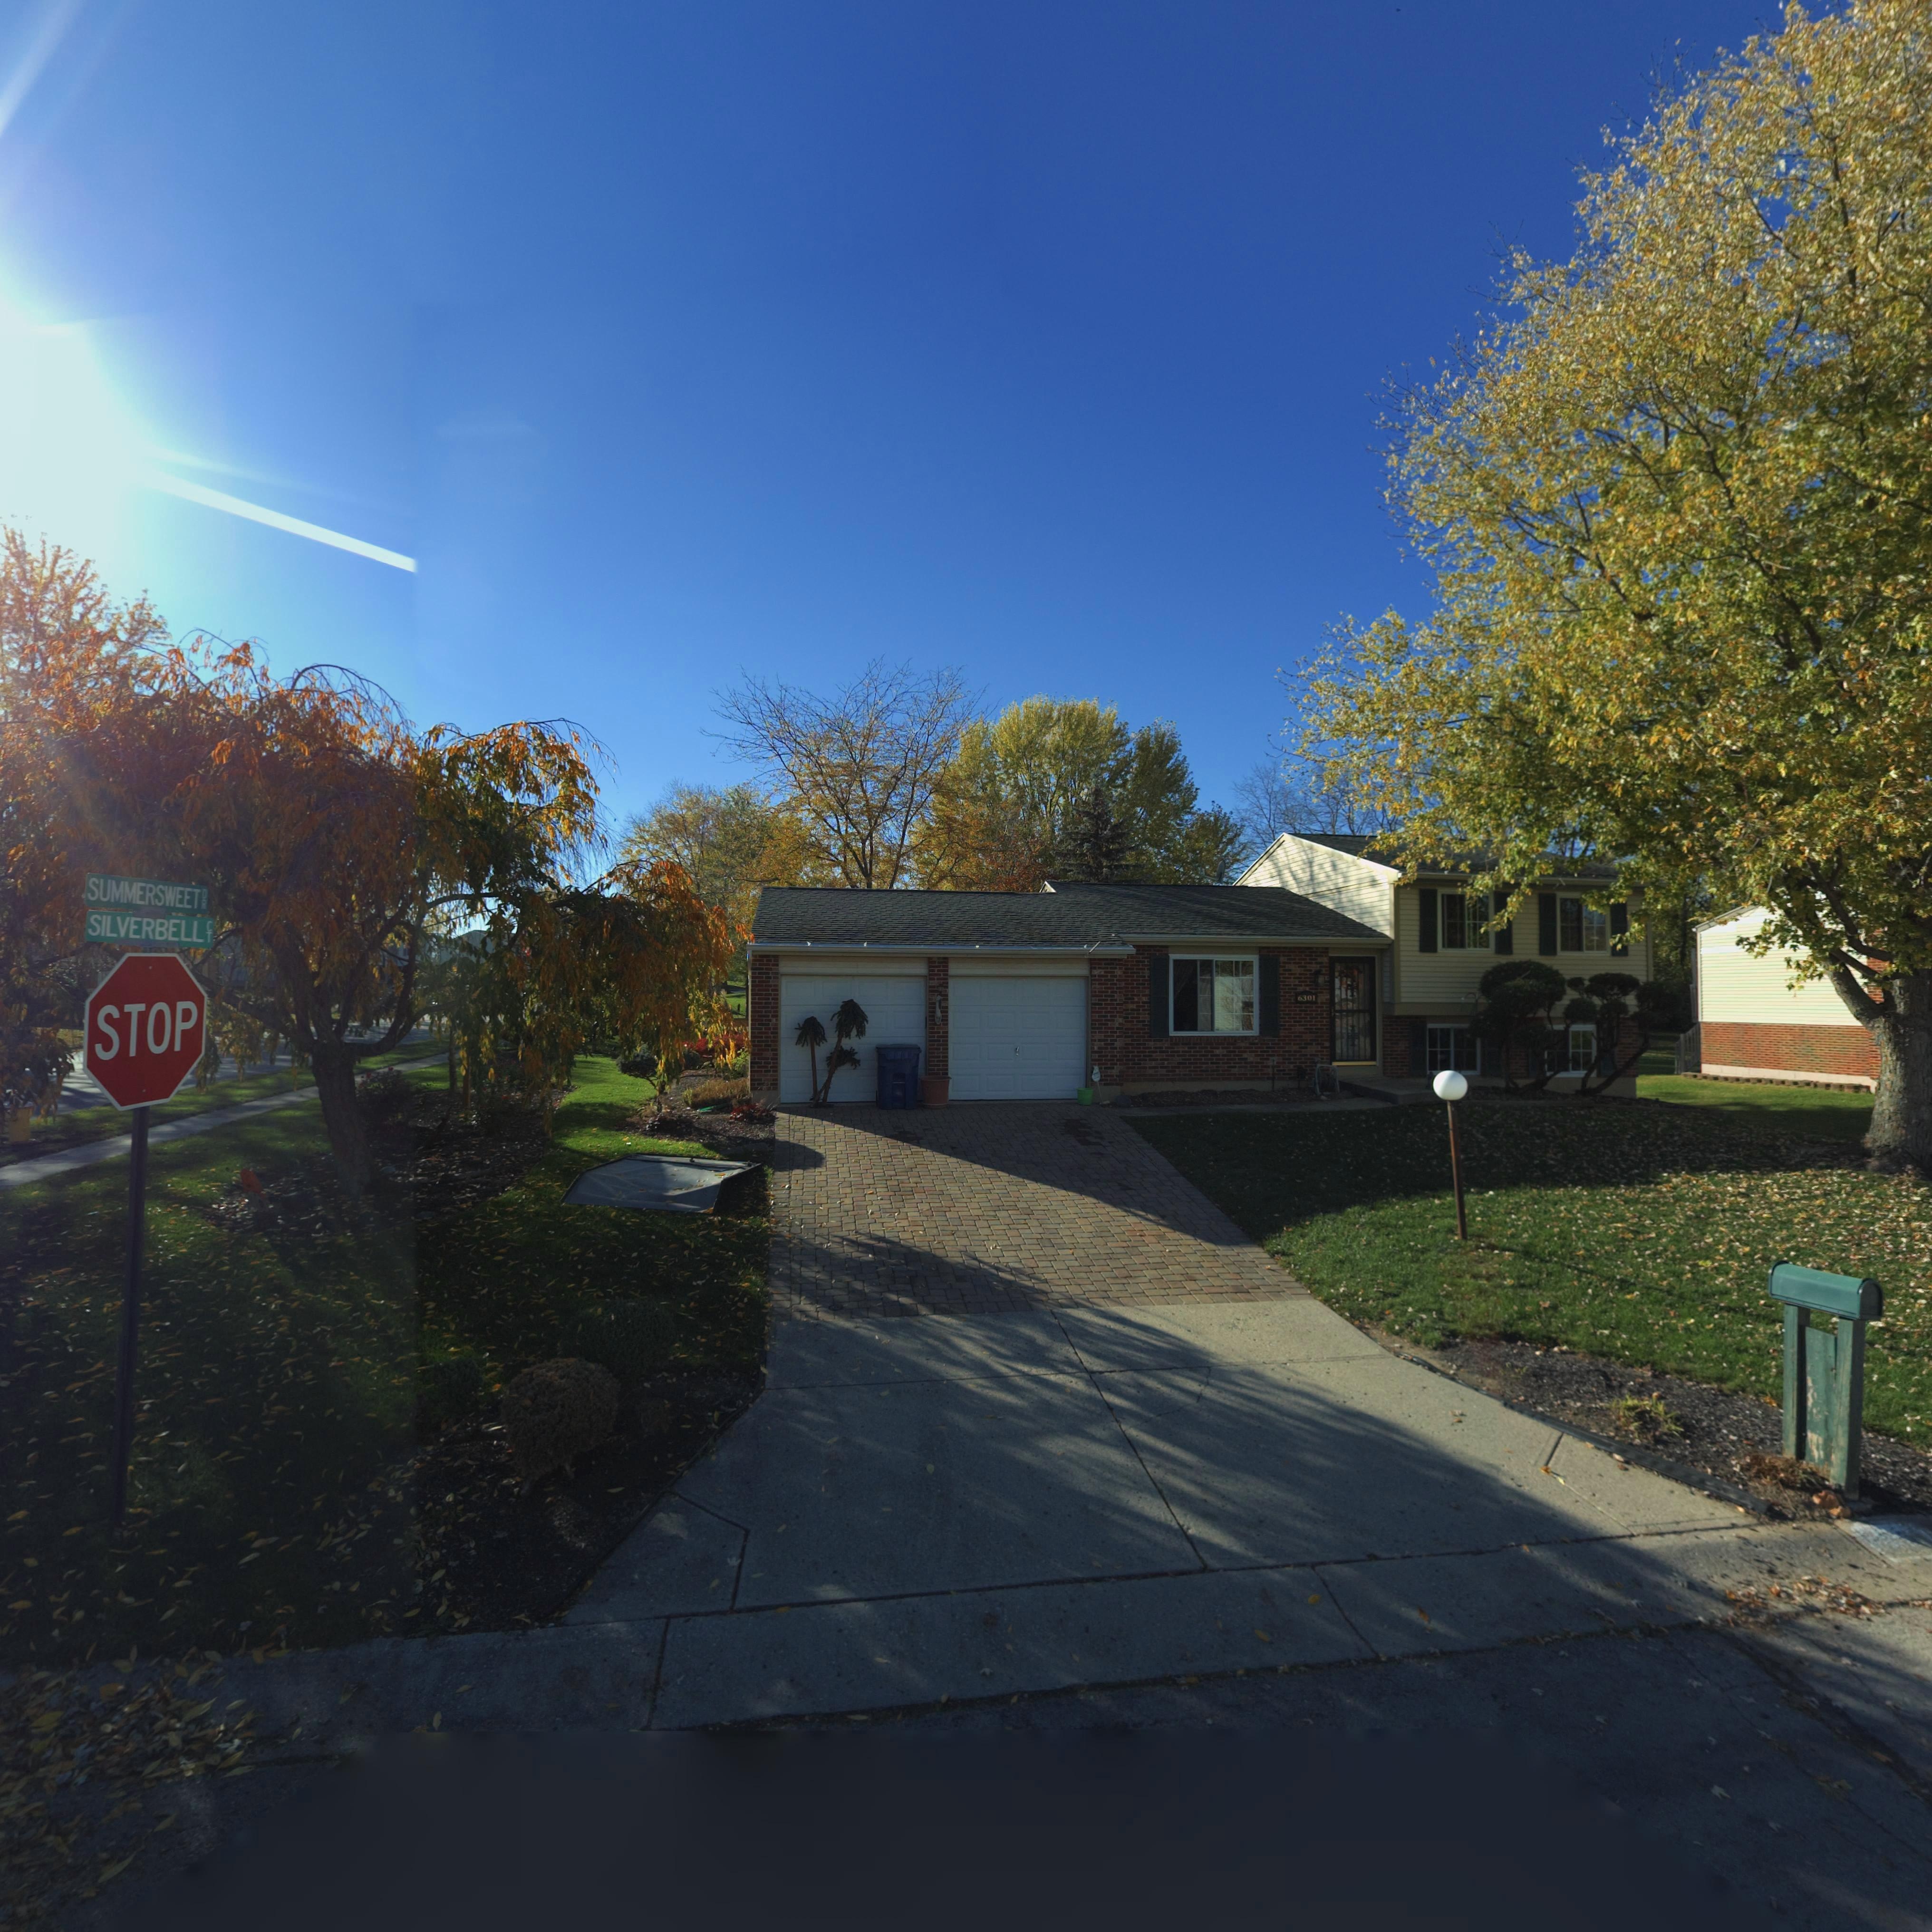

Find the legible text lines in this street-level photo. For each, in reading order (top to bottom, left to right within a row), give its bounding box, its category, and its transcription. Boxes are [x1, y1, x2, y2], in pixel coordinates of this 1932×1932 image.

[86, 876, 203, 909] StreetName: SUMMERSWEET
[198, 888, 209, 911] StreetName: DR
[86, 913, 205, 944] StreetName: SILVERBELL
[204, 919, 214, 945] StreetName: CT
[1296, 994, 1316, 1003] StreetNumber: 6301